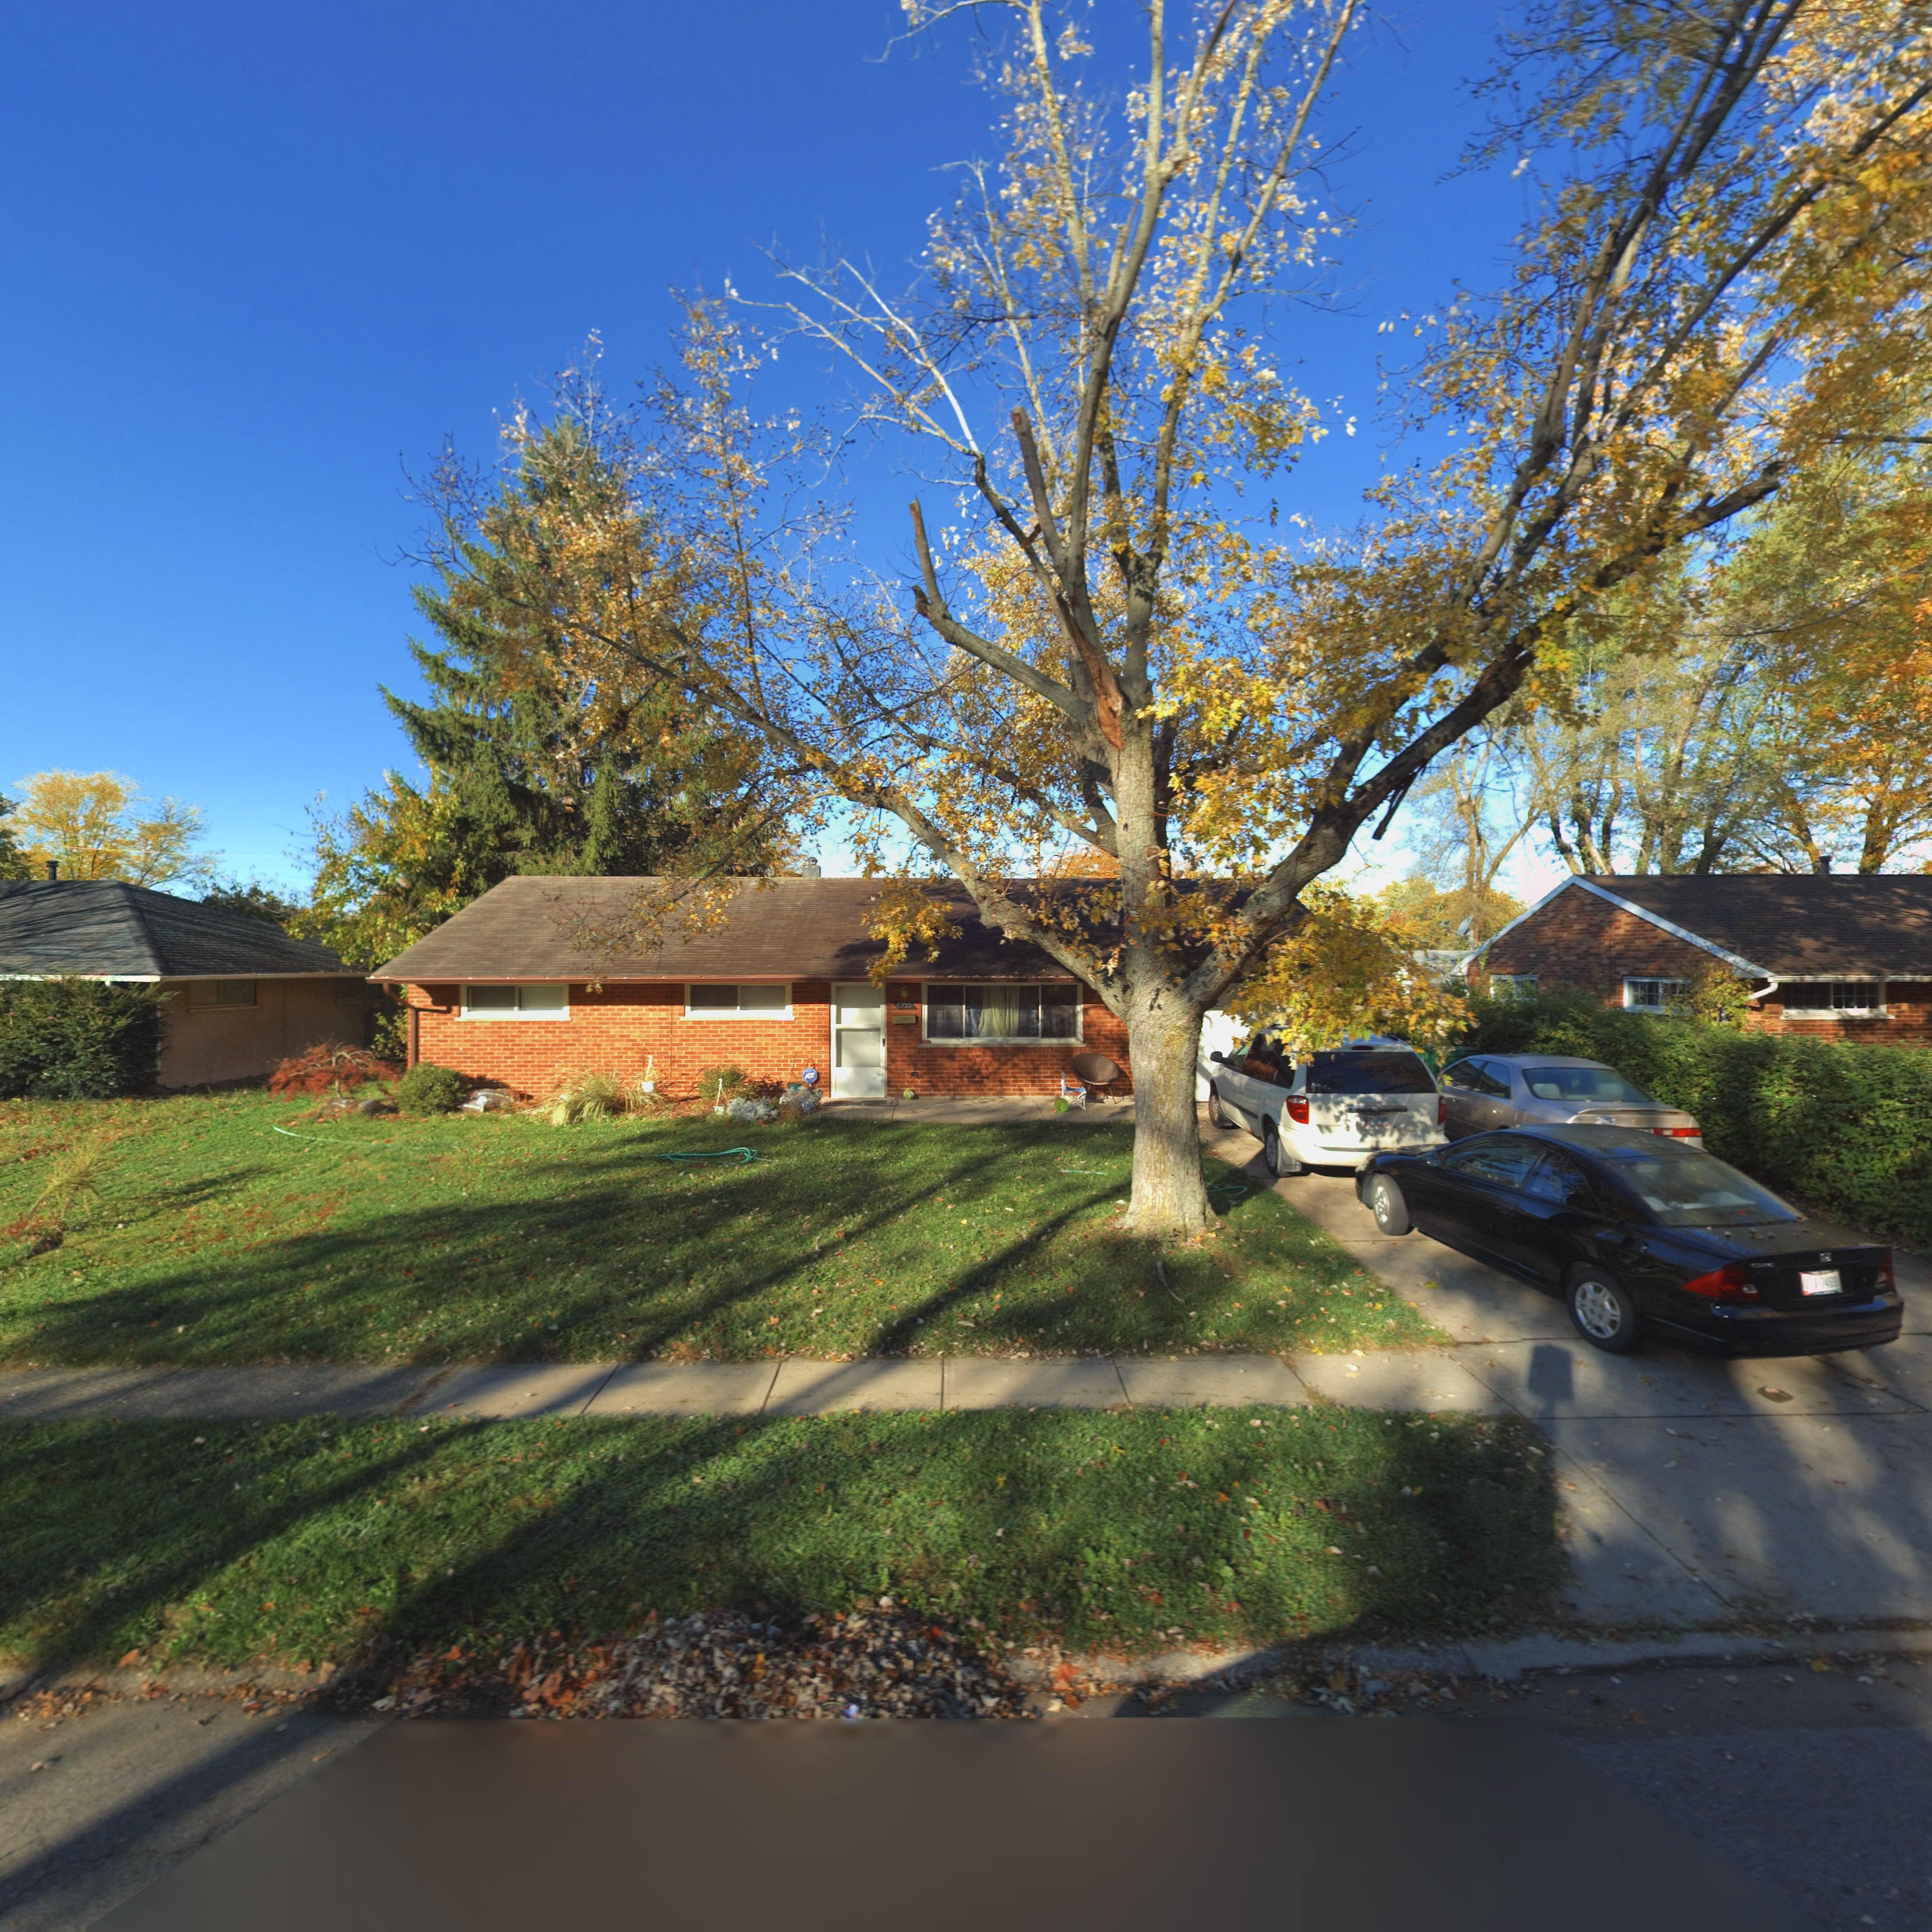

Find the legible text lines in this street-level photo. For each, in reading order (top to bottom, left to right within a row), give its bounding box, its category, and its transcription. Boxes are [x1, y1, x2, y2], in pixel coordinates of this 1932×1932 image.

[896, 1002, 912, 1009] StreetNumber: 4765